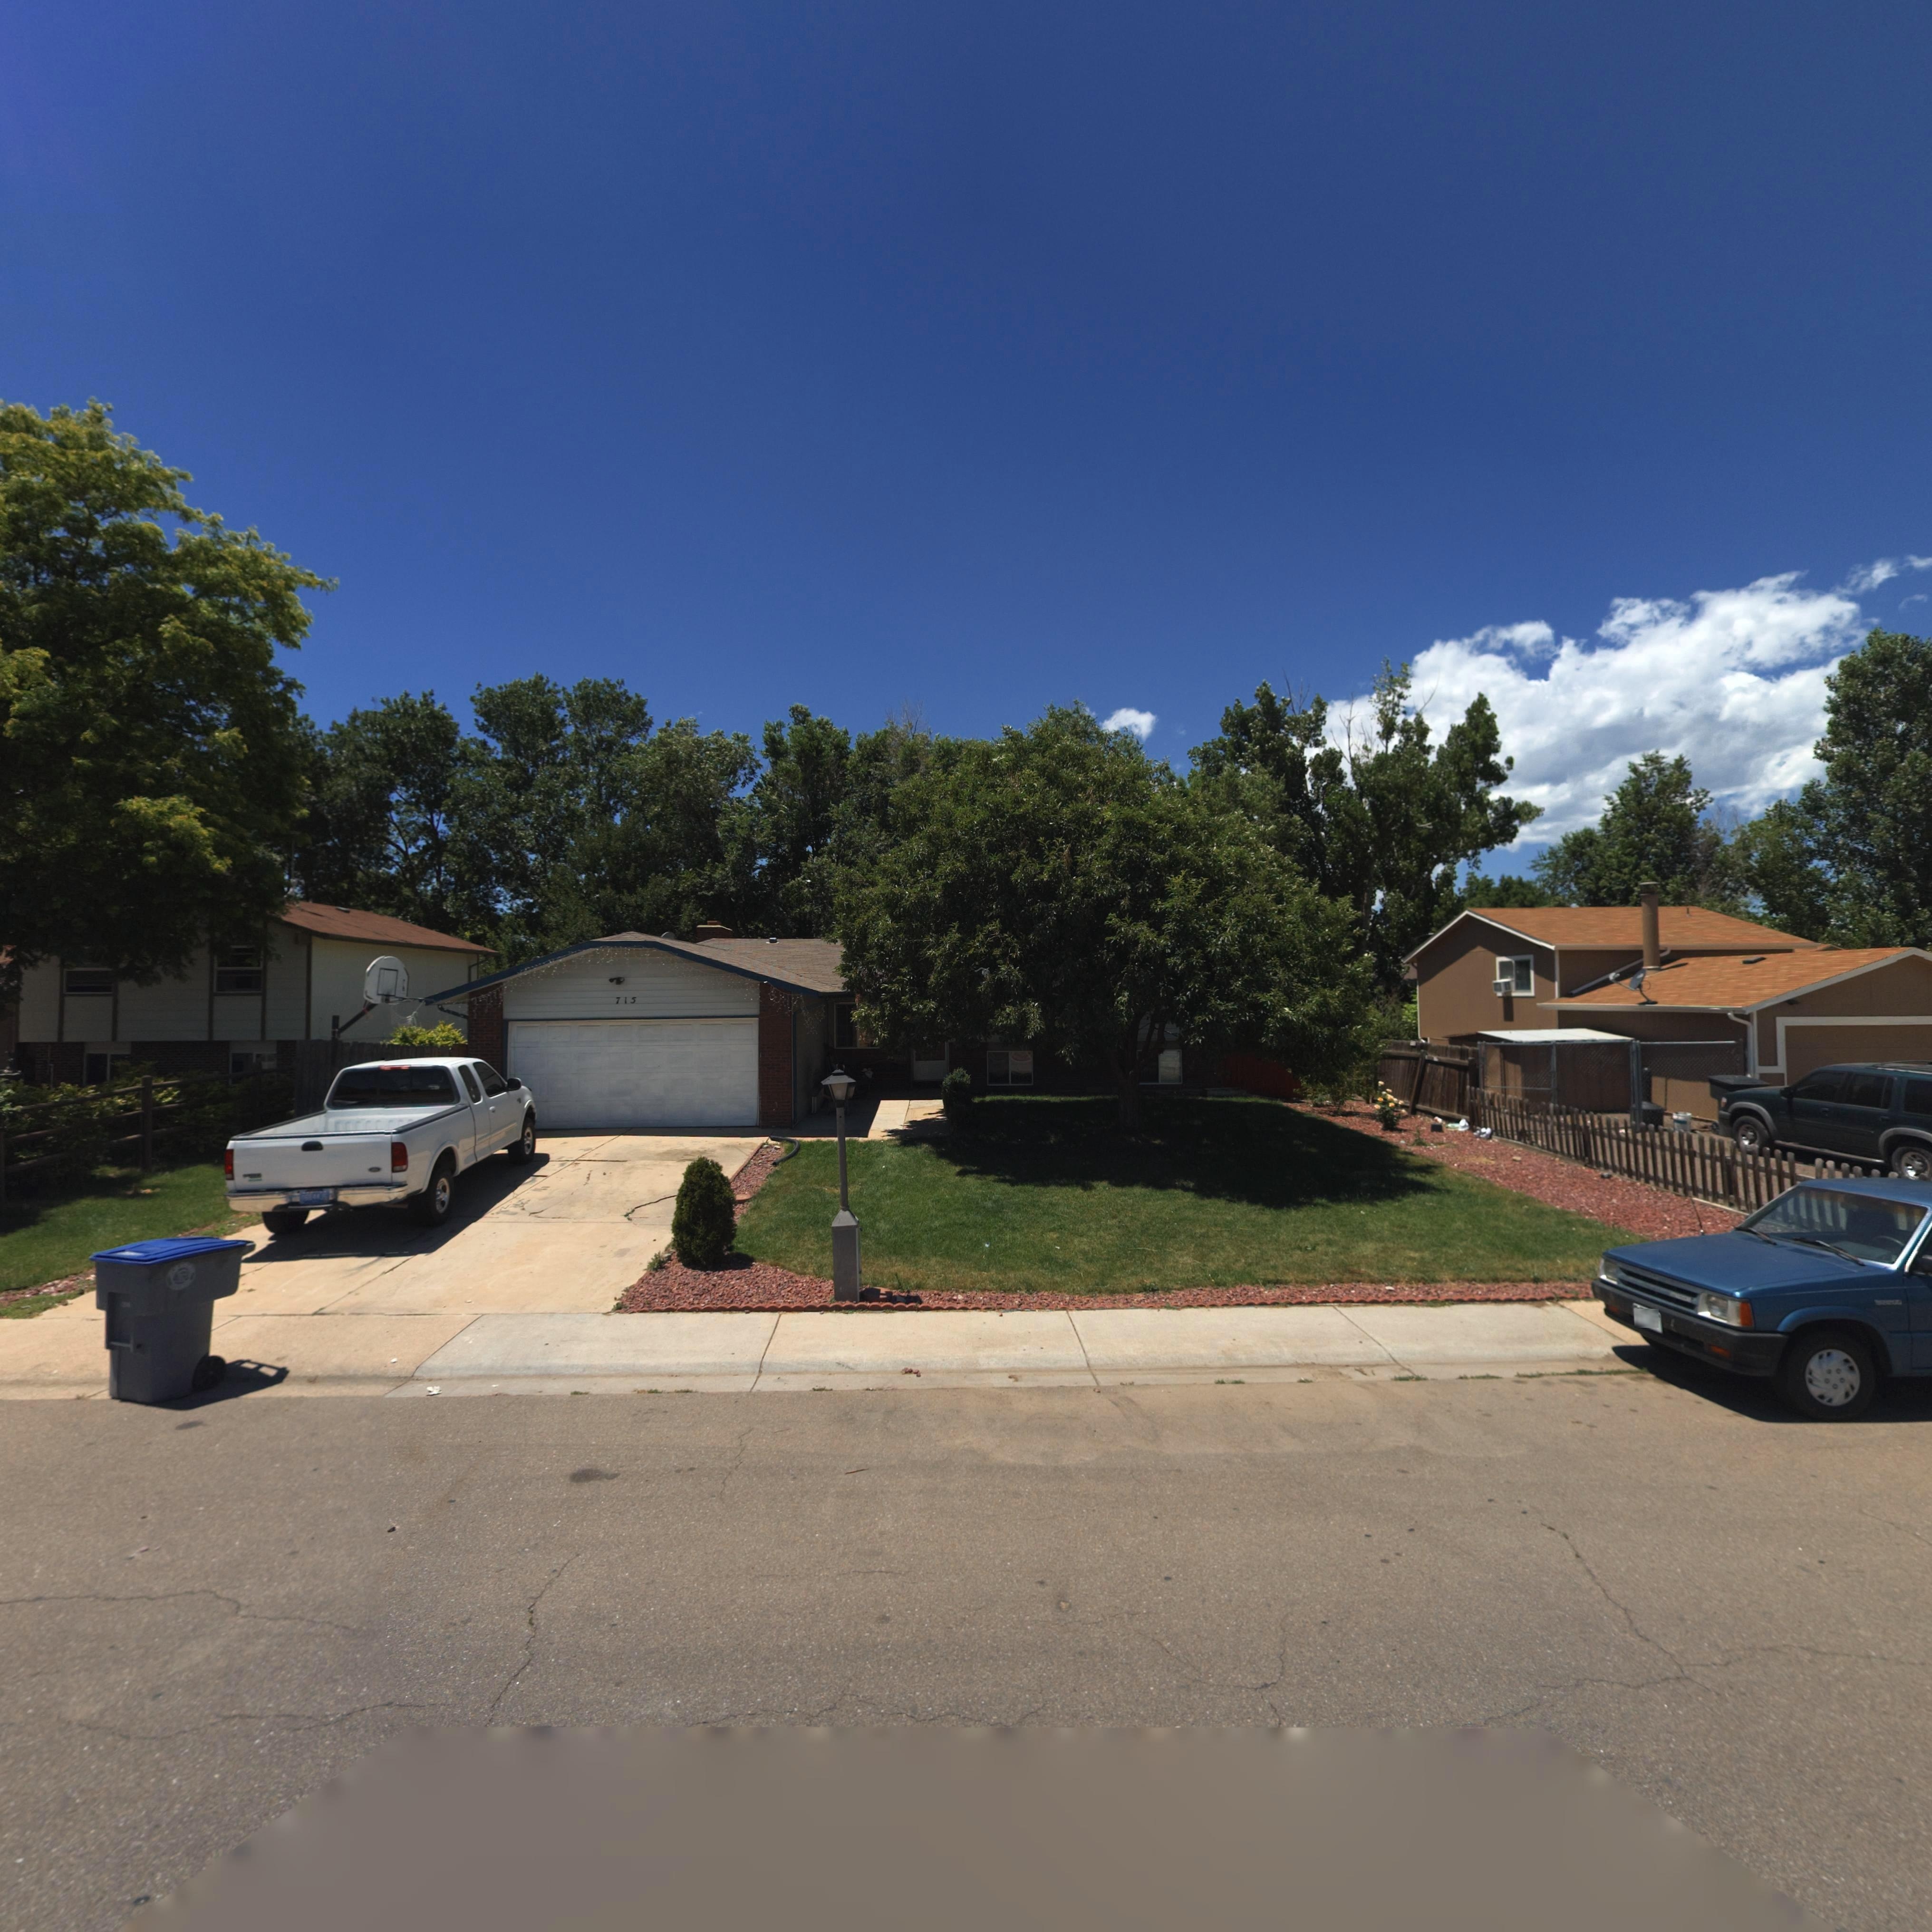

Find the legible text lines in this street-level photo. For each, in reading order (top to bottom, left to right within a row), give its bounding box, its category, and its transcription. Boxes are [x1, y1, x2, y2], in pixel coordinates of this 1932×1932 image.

[615, 996, 637, 1004] StreetNumber: 715